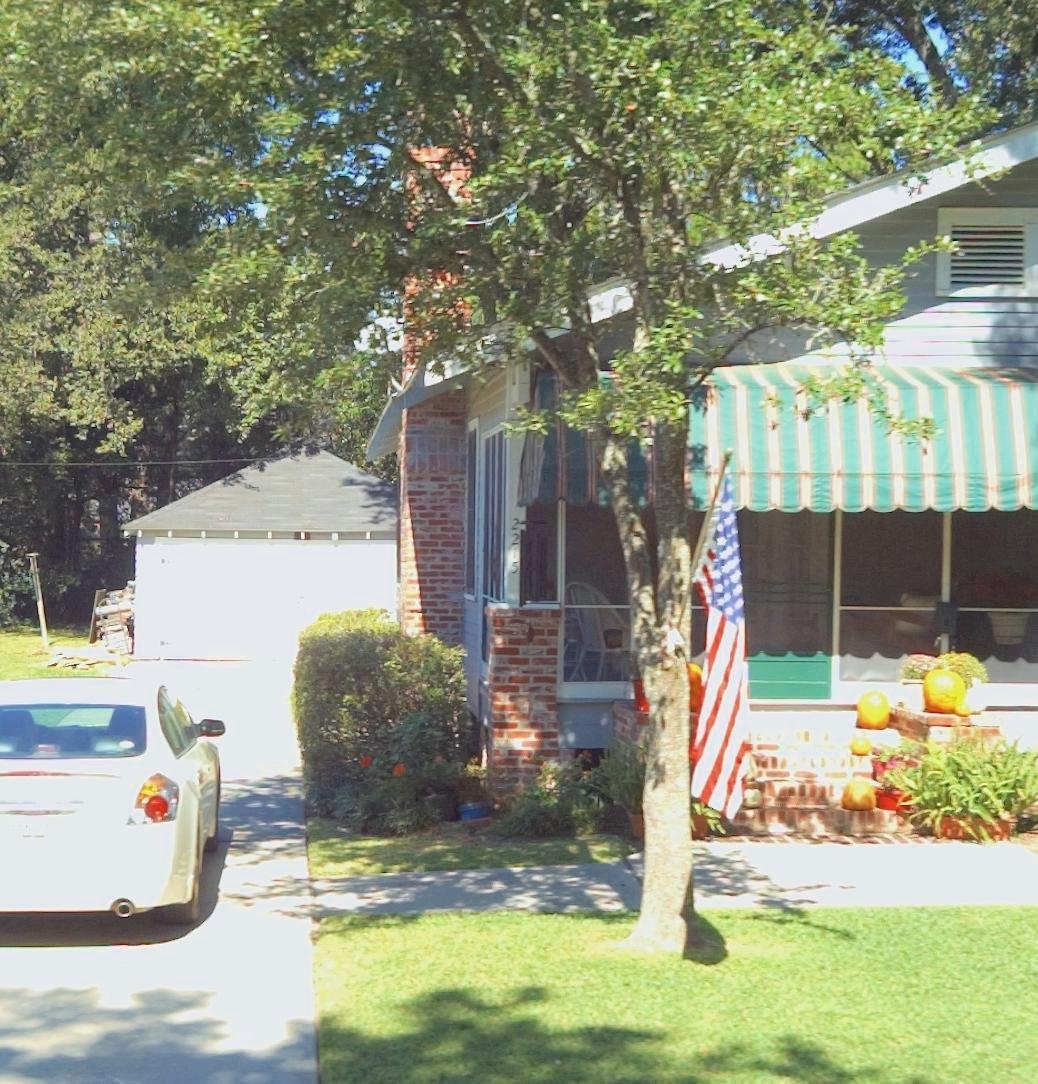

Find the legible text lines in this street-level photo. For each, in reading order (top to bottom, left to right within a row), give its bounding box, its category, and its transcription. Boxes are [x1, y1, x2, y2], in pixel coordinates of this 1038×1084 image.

[508, 515, 521, 576] StreetNumber: 2215